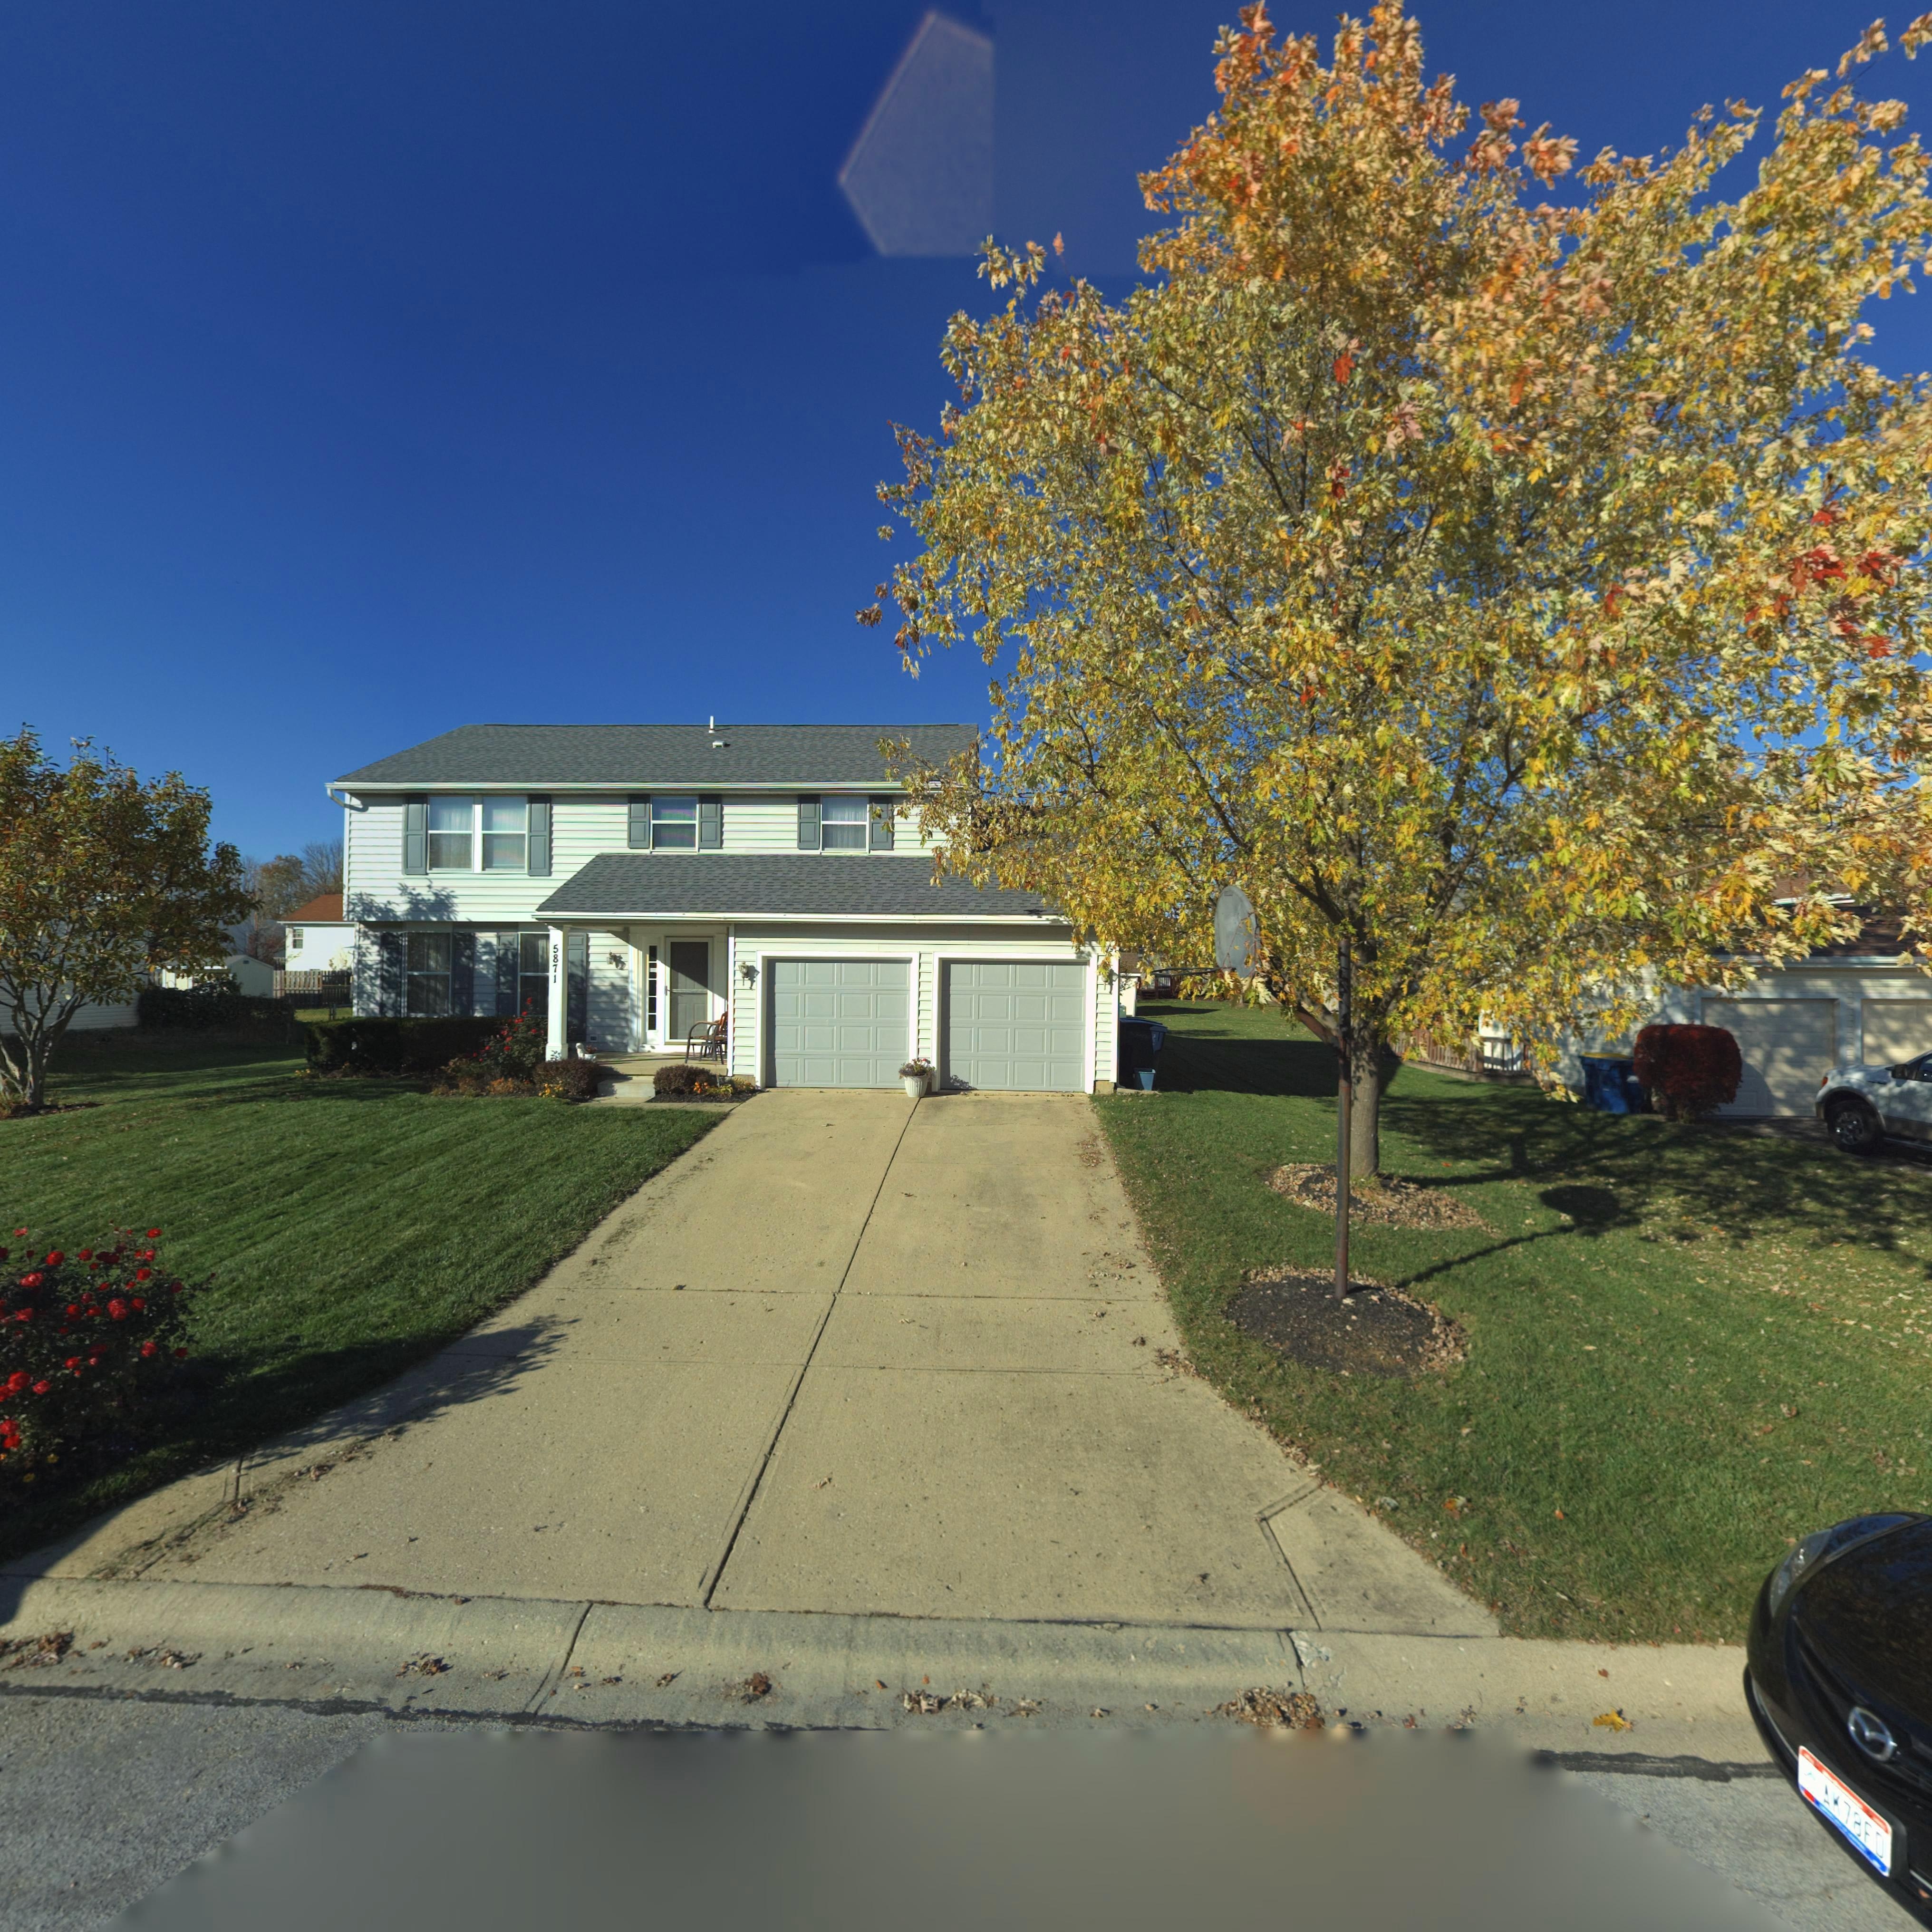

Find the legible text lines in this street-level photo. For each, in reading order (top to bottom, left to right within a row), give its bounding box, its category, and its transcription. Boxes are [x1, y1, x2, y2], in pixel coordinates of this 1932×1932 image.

[551, 943, 560, 985] StreetNumber: 5871